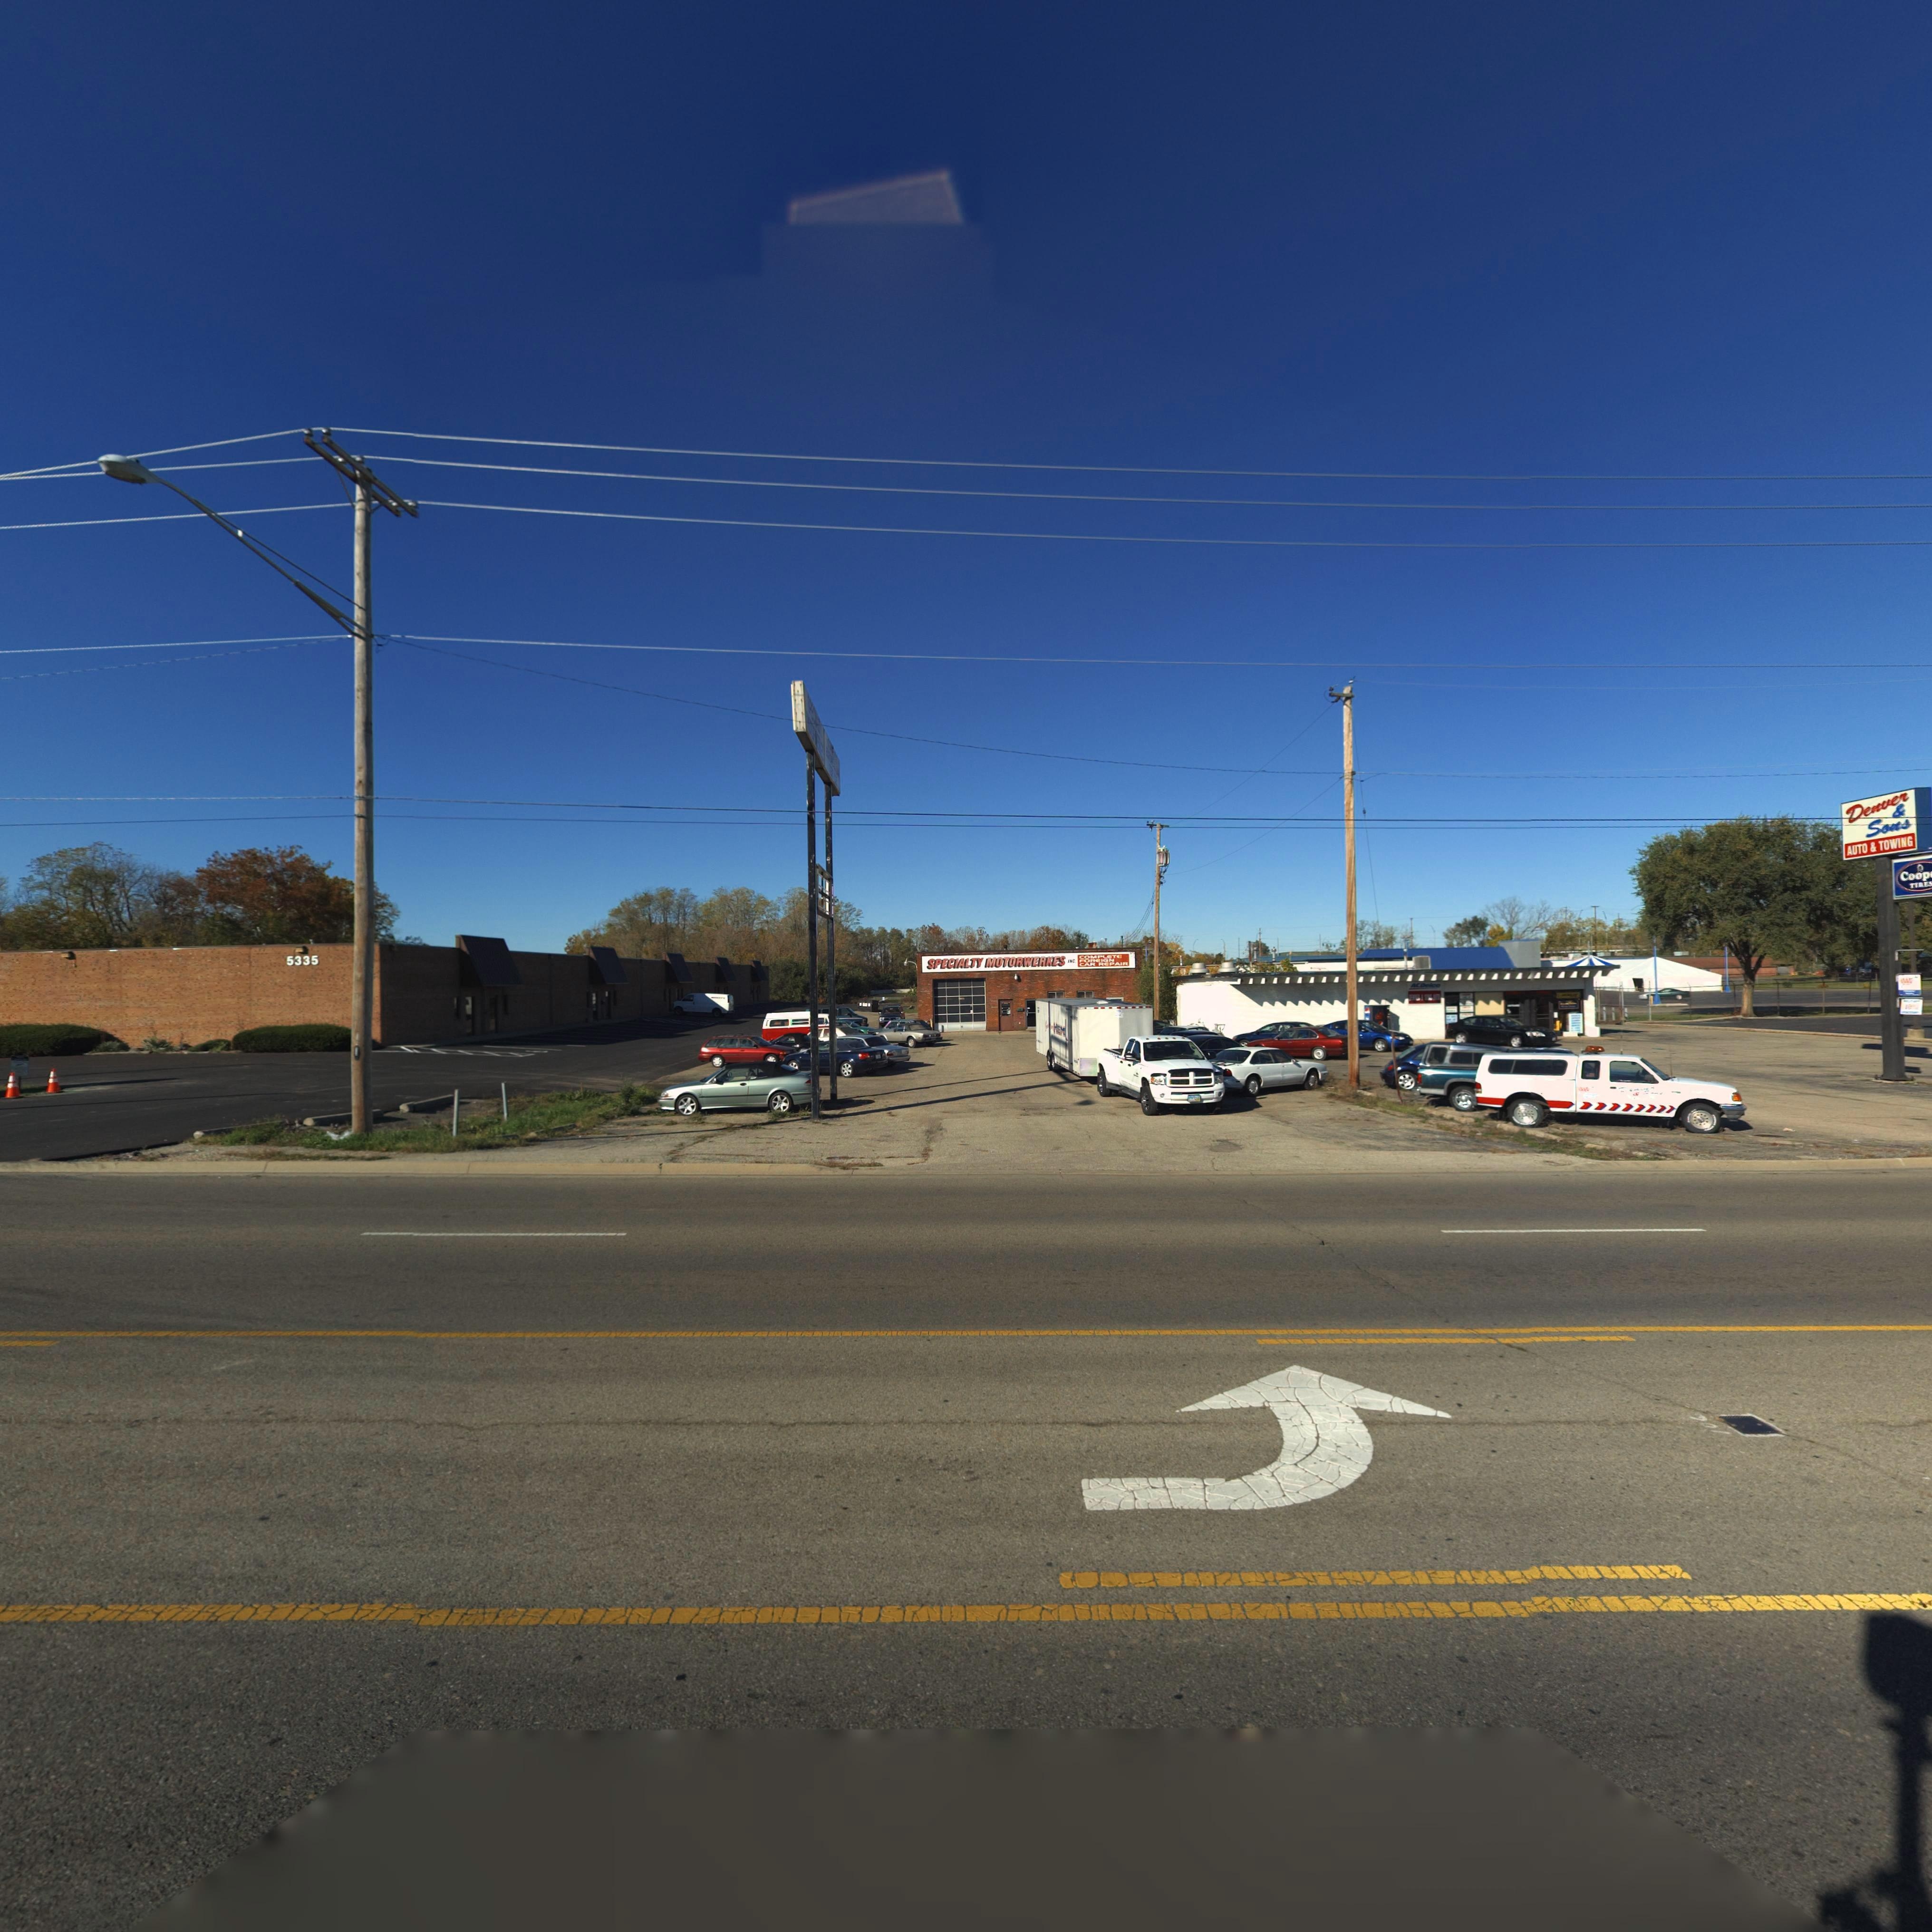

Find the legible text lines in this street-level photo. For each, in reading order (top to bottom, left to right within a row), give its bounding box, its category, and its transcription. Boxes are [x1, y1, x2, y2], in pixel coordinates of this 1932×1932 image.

[286, 955, 319, 966] StreetNumber: 5335